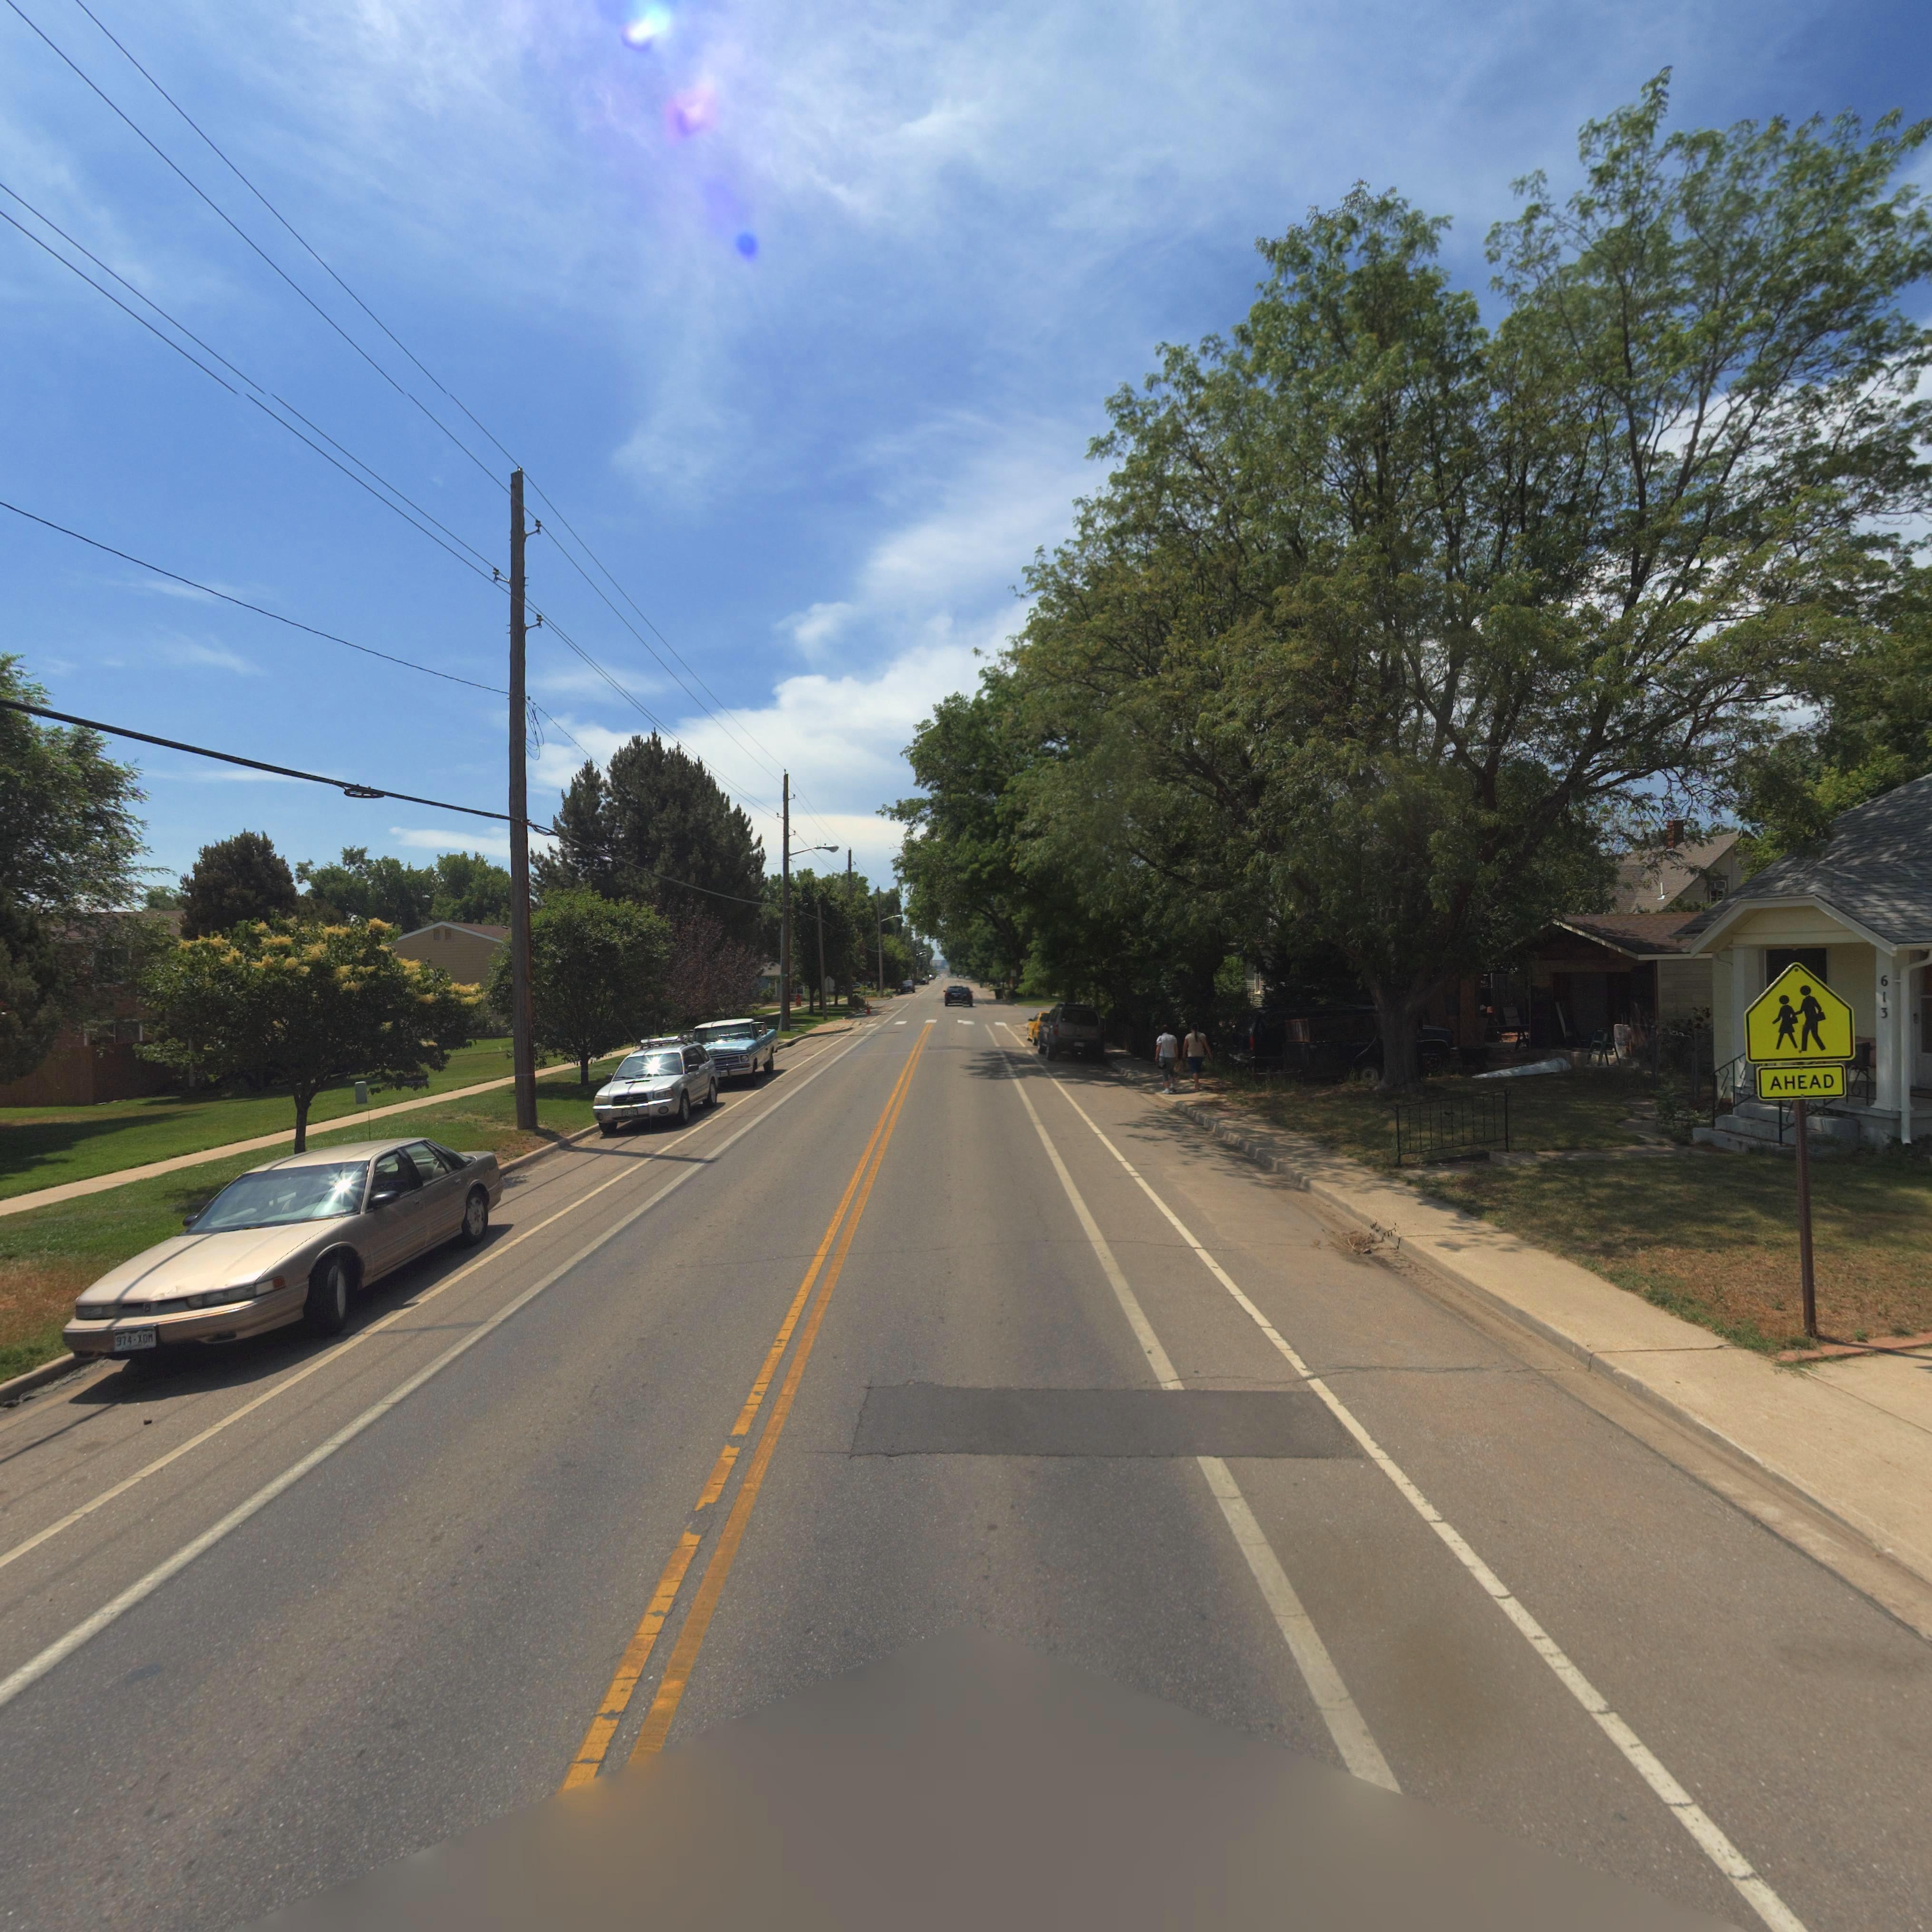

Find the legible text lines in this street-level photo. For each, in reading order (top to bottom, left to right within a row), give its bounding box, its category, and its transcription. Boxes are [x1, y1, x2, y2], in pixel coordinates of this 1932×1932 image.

[1880, 975, 1888, 1019] StreetNumber: 613